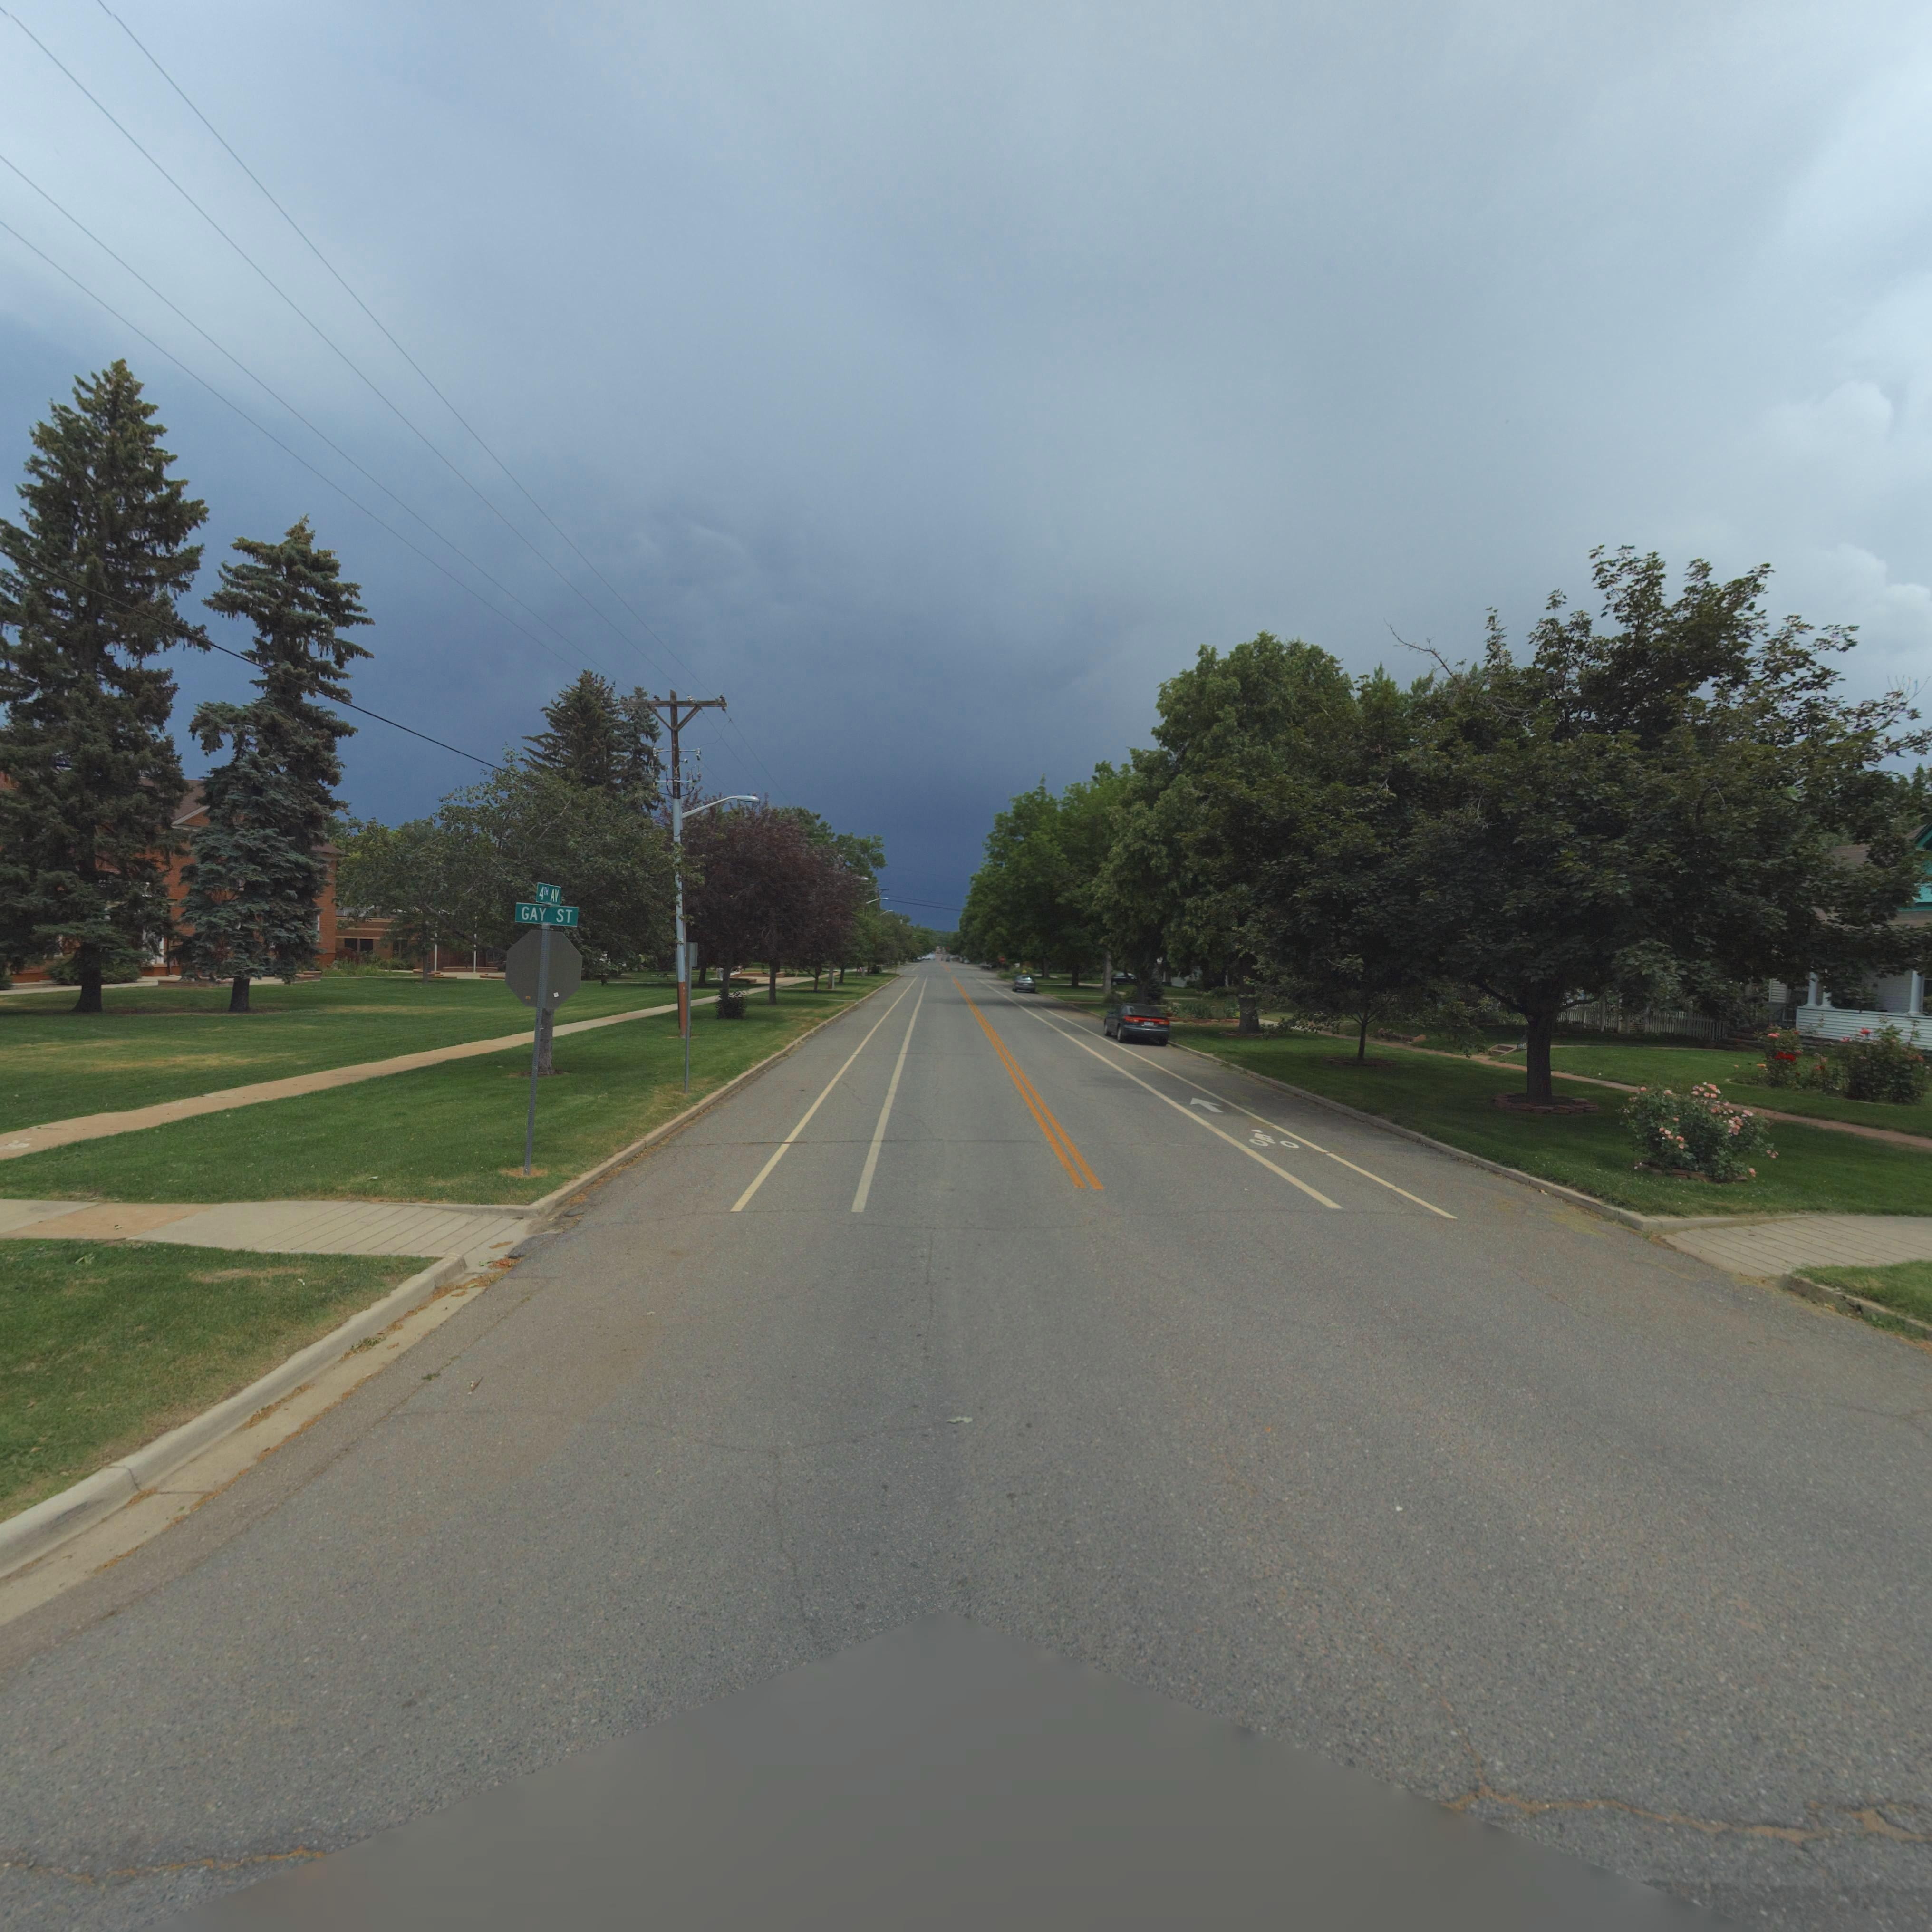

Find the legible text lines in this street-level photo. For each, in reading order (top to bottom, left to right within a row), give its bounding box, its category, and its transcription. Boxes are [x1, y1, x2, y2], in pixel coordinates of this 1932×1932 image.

[537, 886, 560, 903] StreetName: 4TH AV
[520, 905, 573, 924] StreetName: GAY ST